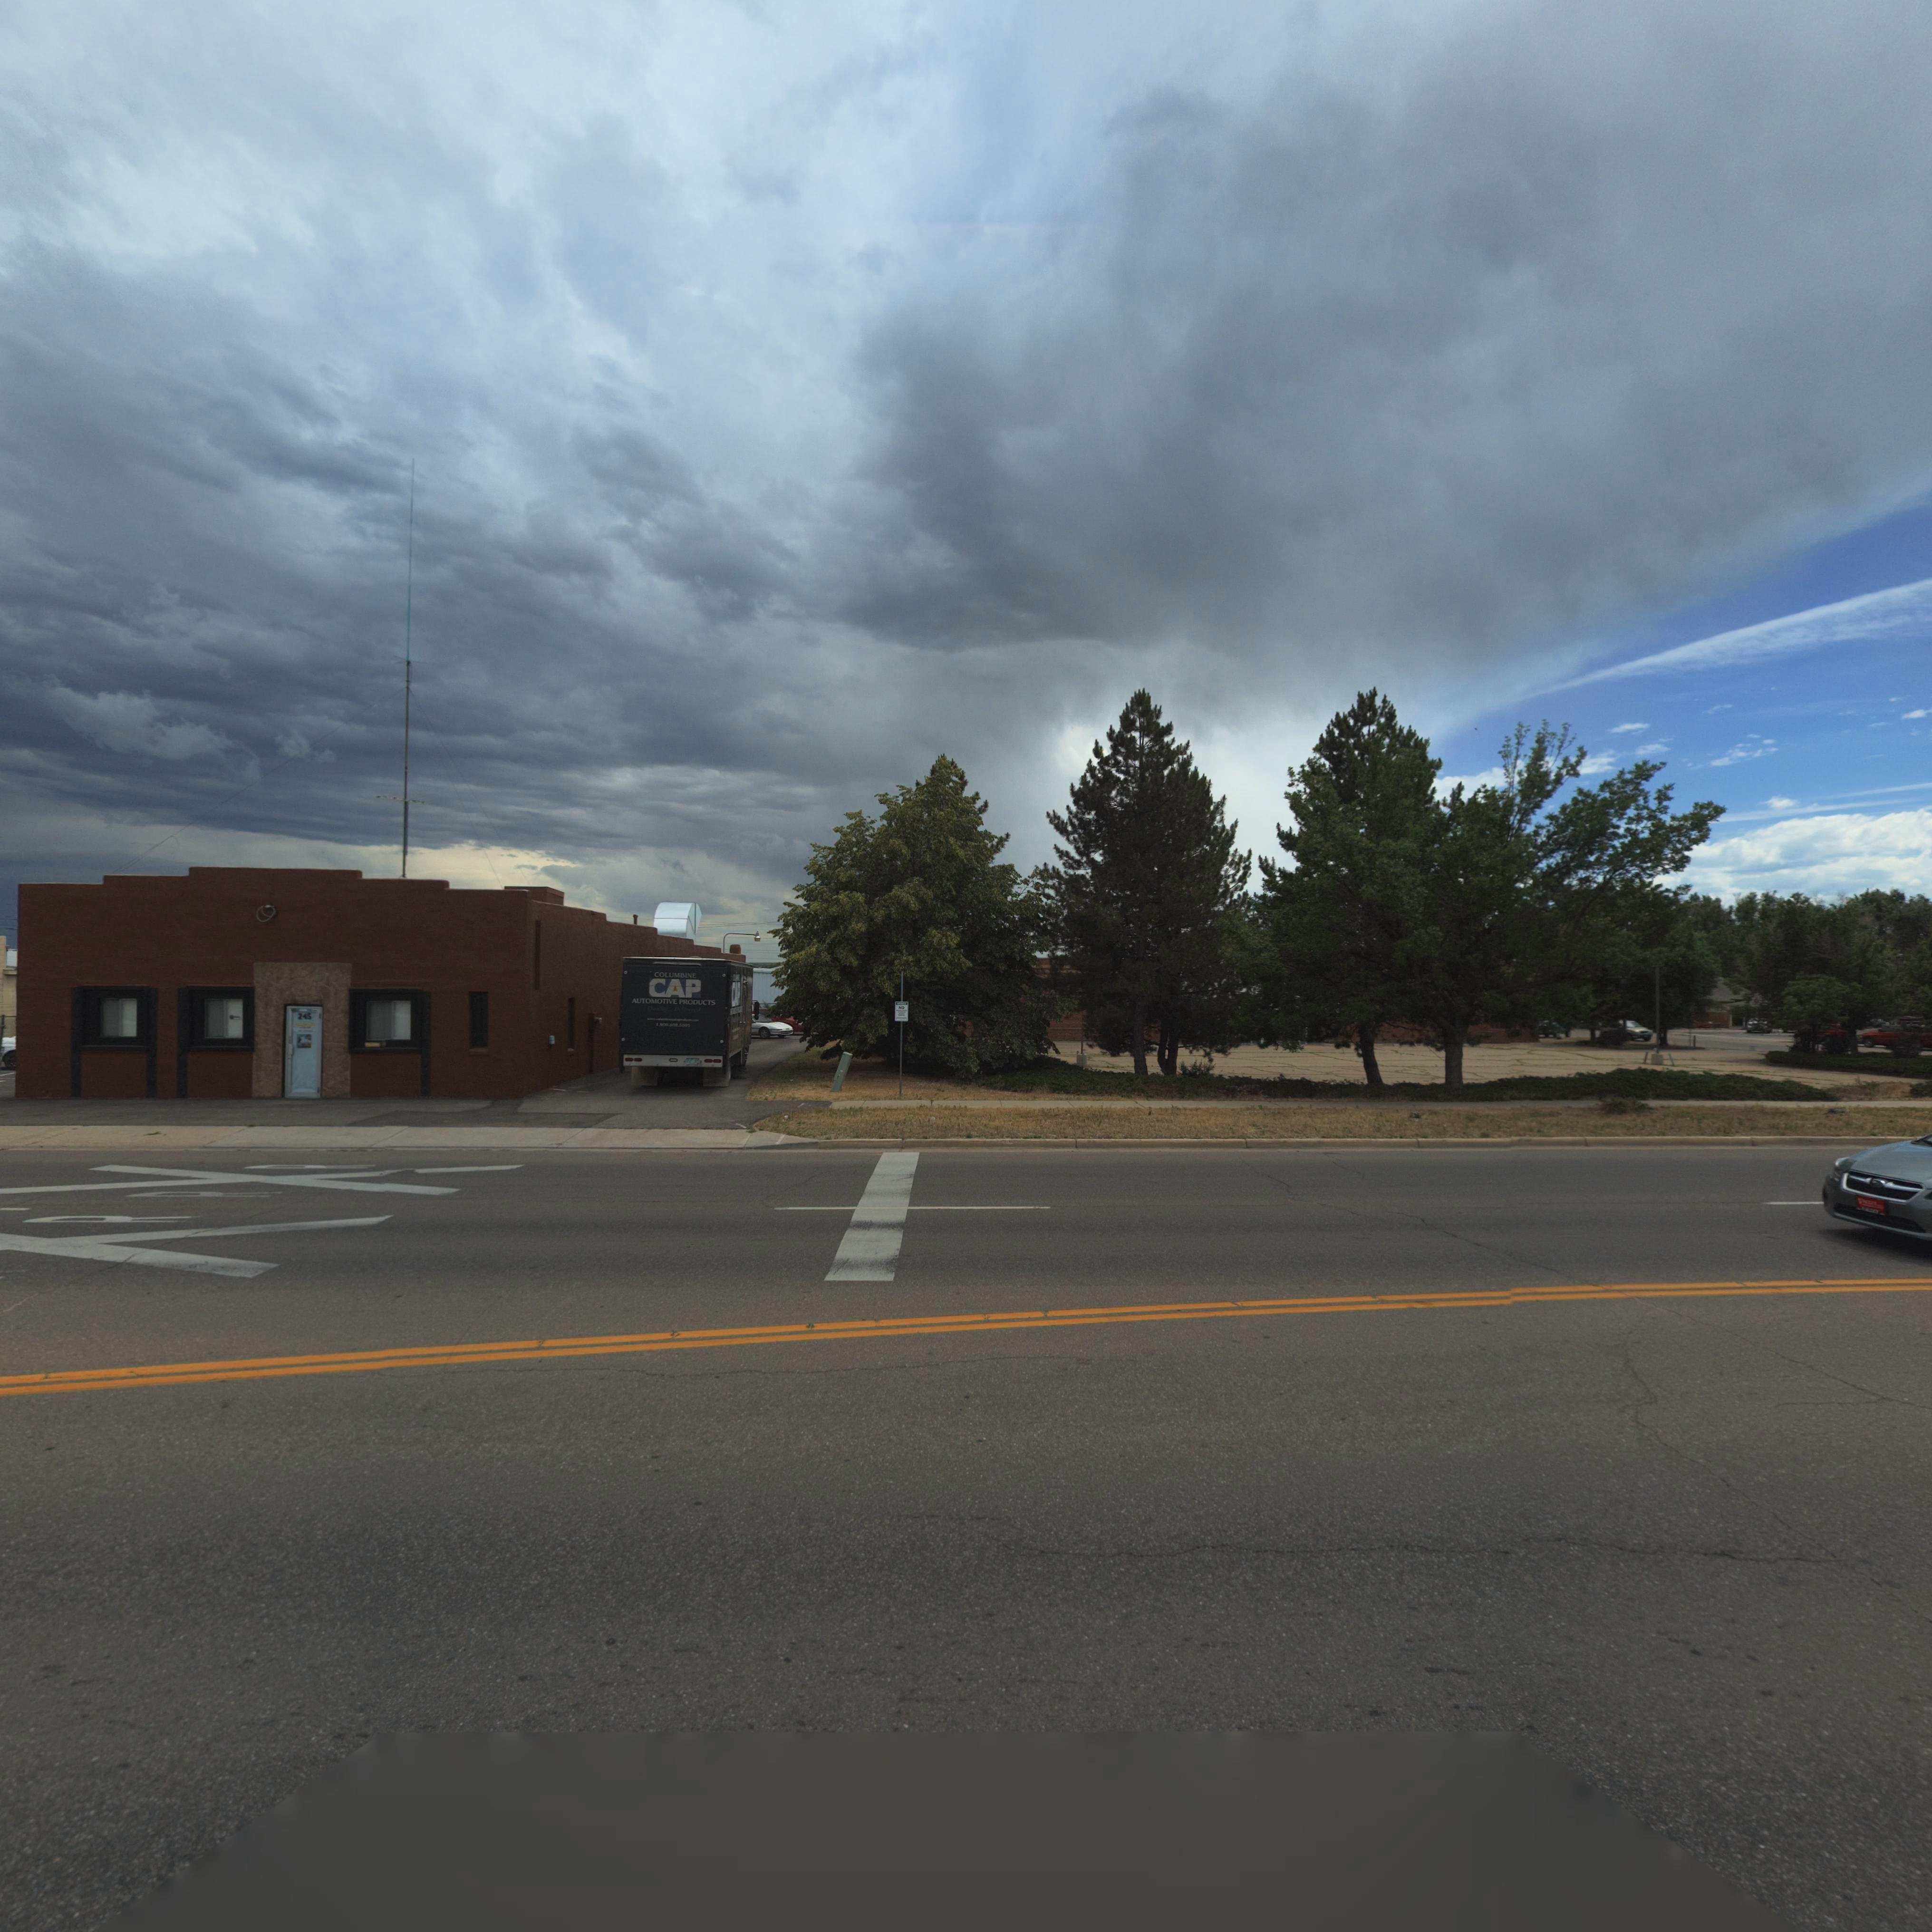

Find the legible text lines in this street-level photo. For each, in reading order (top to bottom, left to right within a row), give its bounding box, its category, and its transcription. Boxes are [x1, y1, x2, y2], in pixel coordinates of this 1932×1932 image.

[298, 1013, 311, 1020] StreetNumber: 245